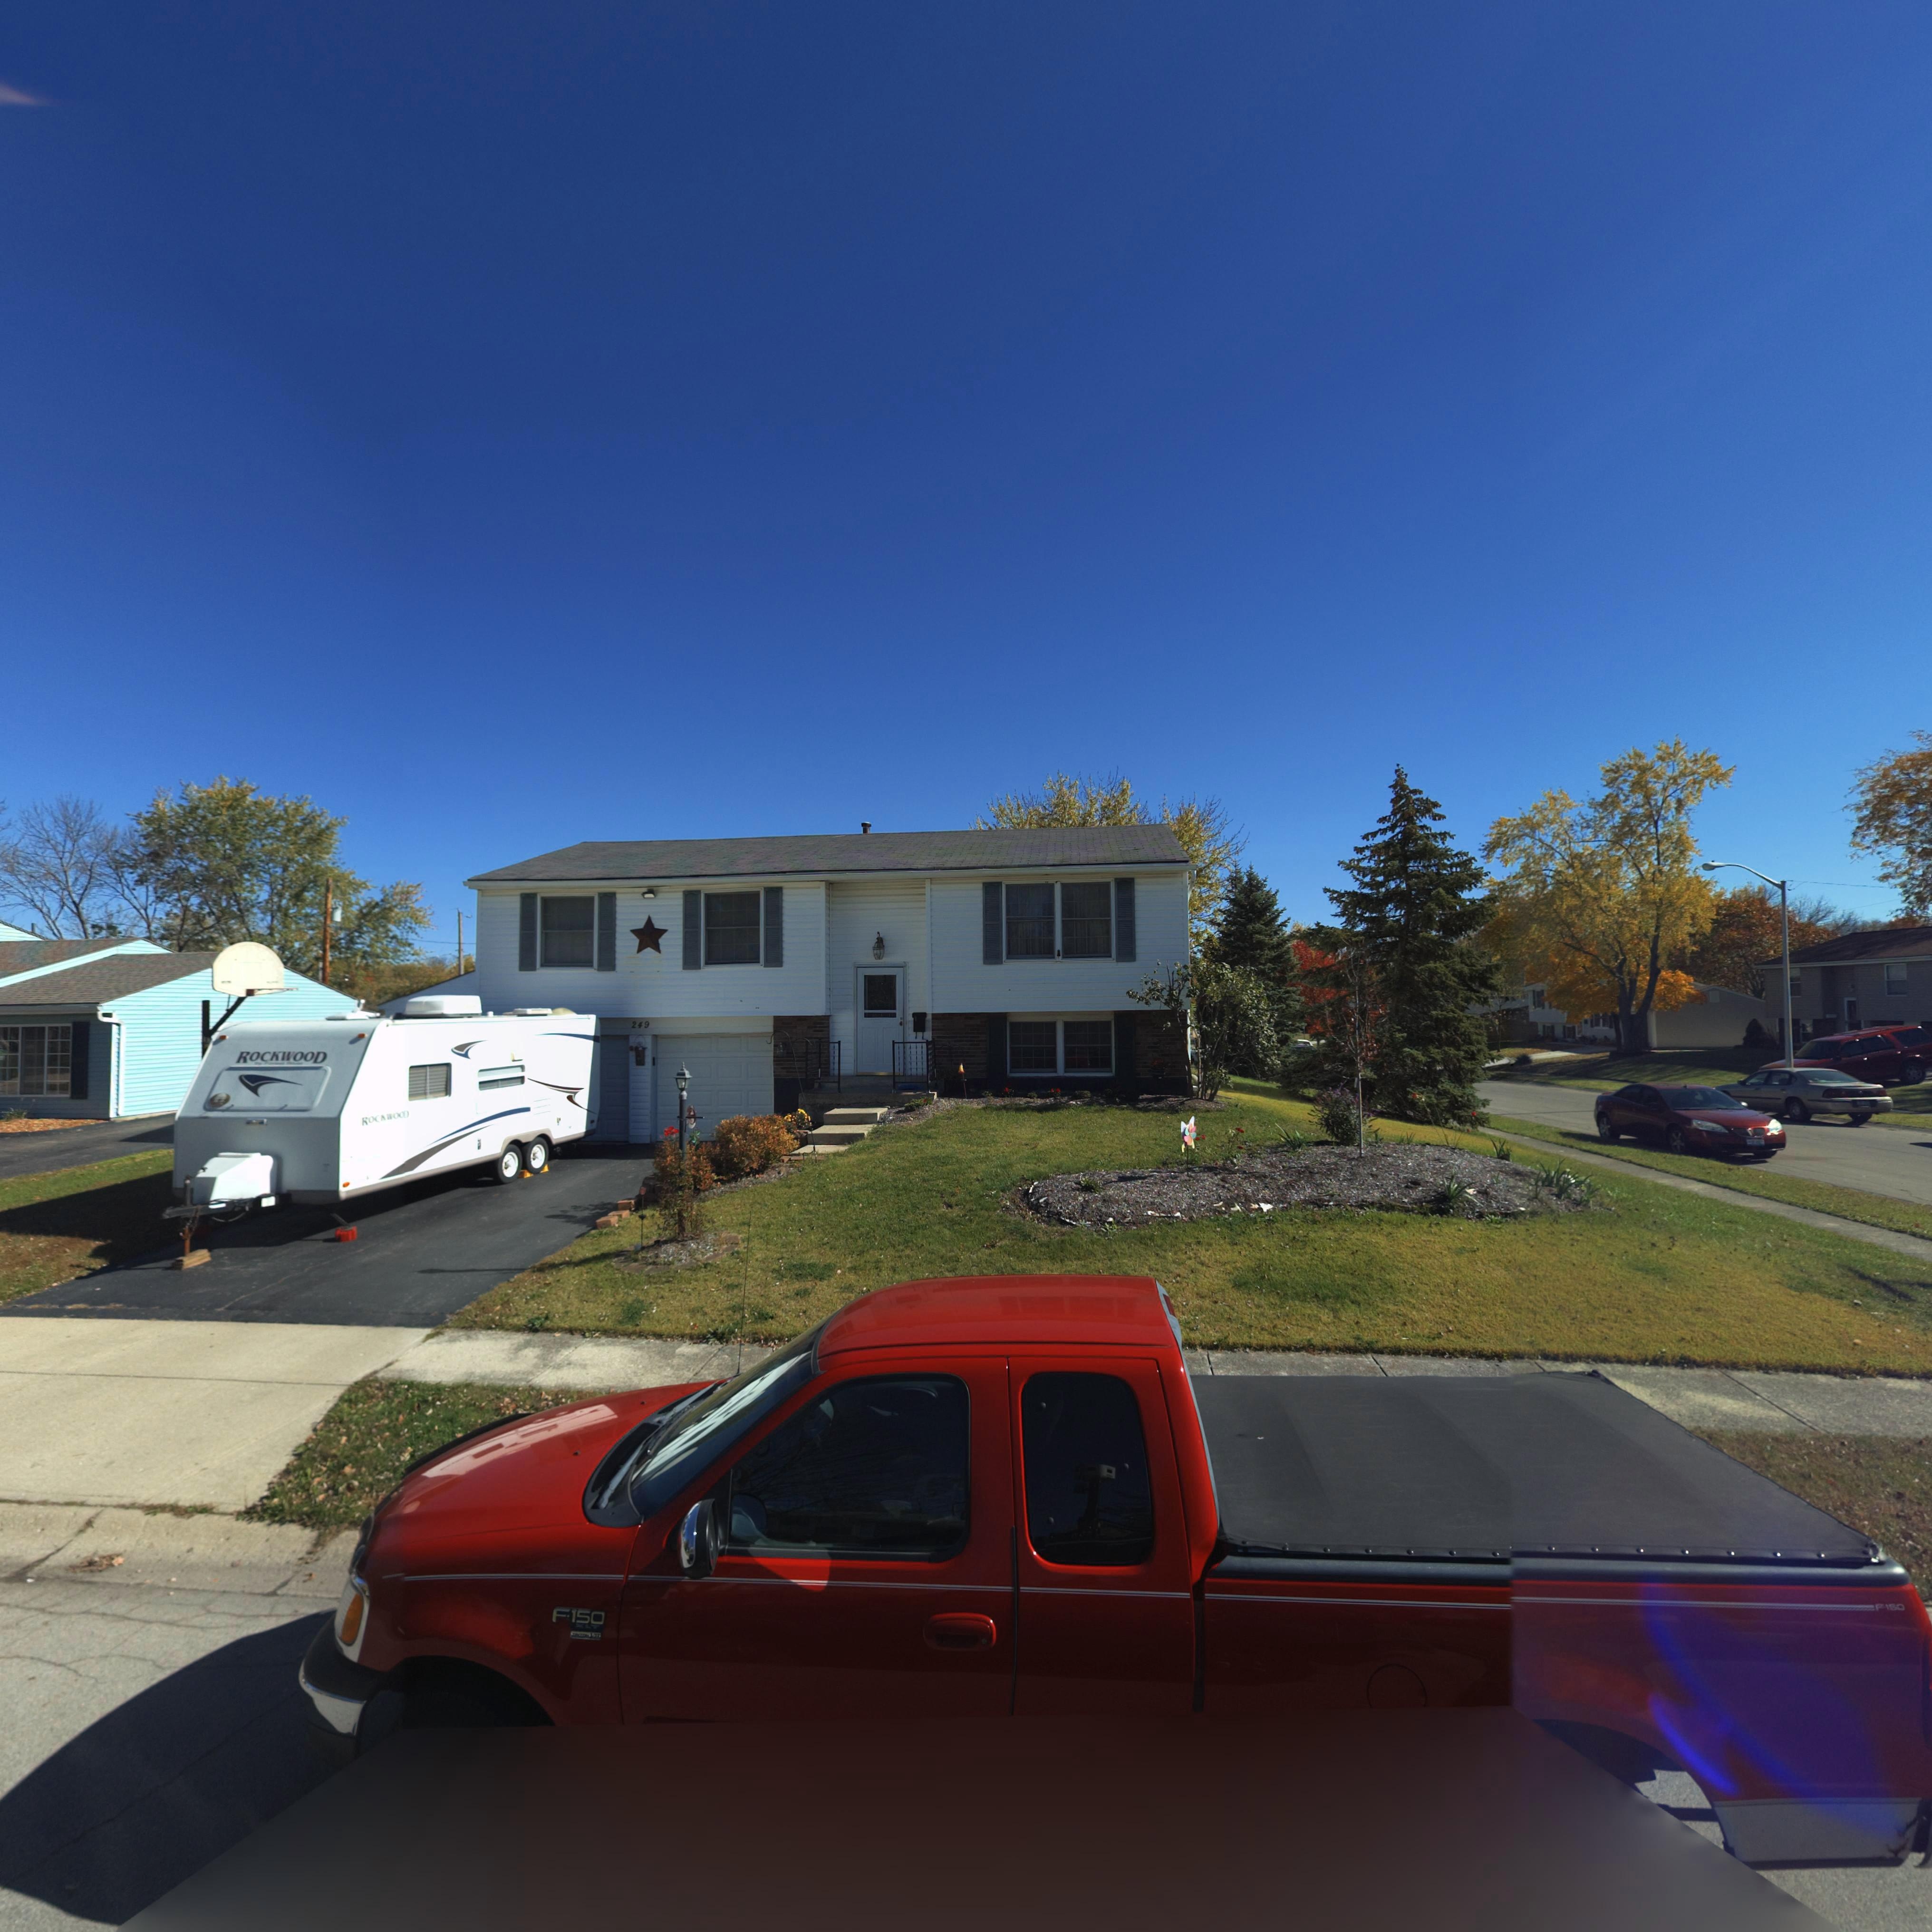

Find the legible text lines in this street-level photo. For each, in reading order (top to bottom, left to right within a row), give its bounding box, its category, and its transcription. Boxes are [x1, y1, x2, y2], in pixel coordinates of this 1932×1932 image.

[631, 1020, 650, 1029] StreetNumber: 249